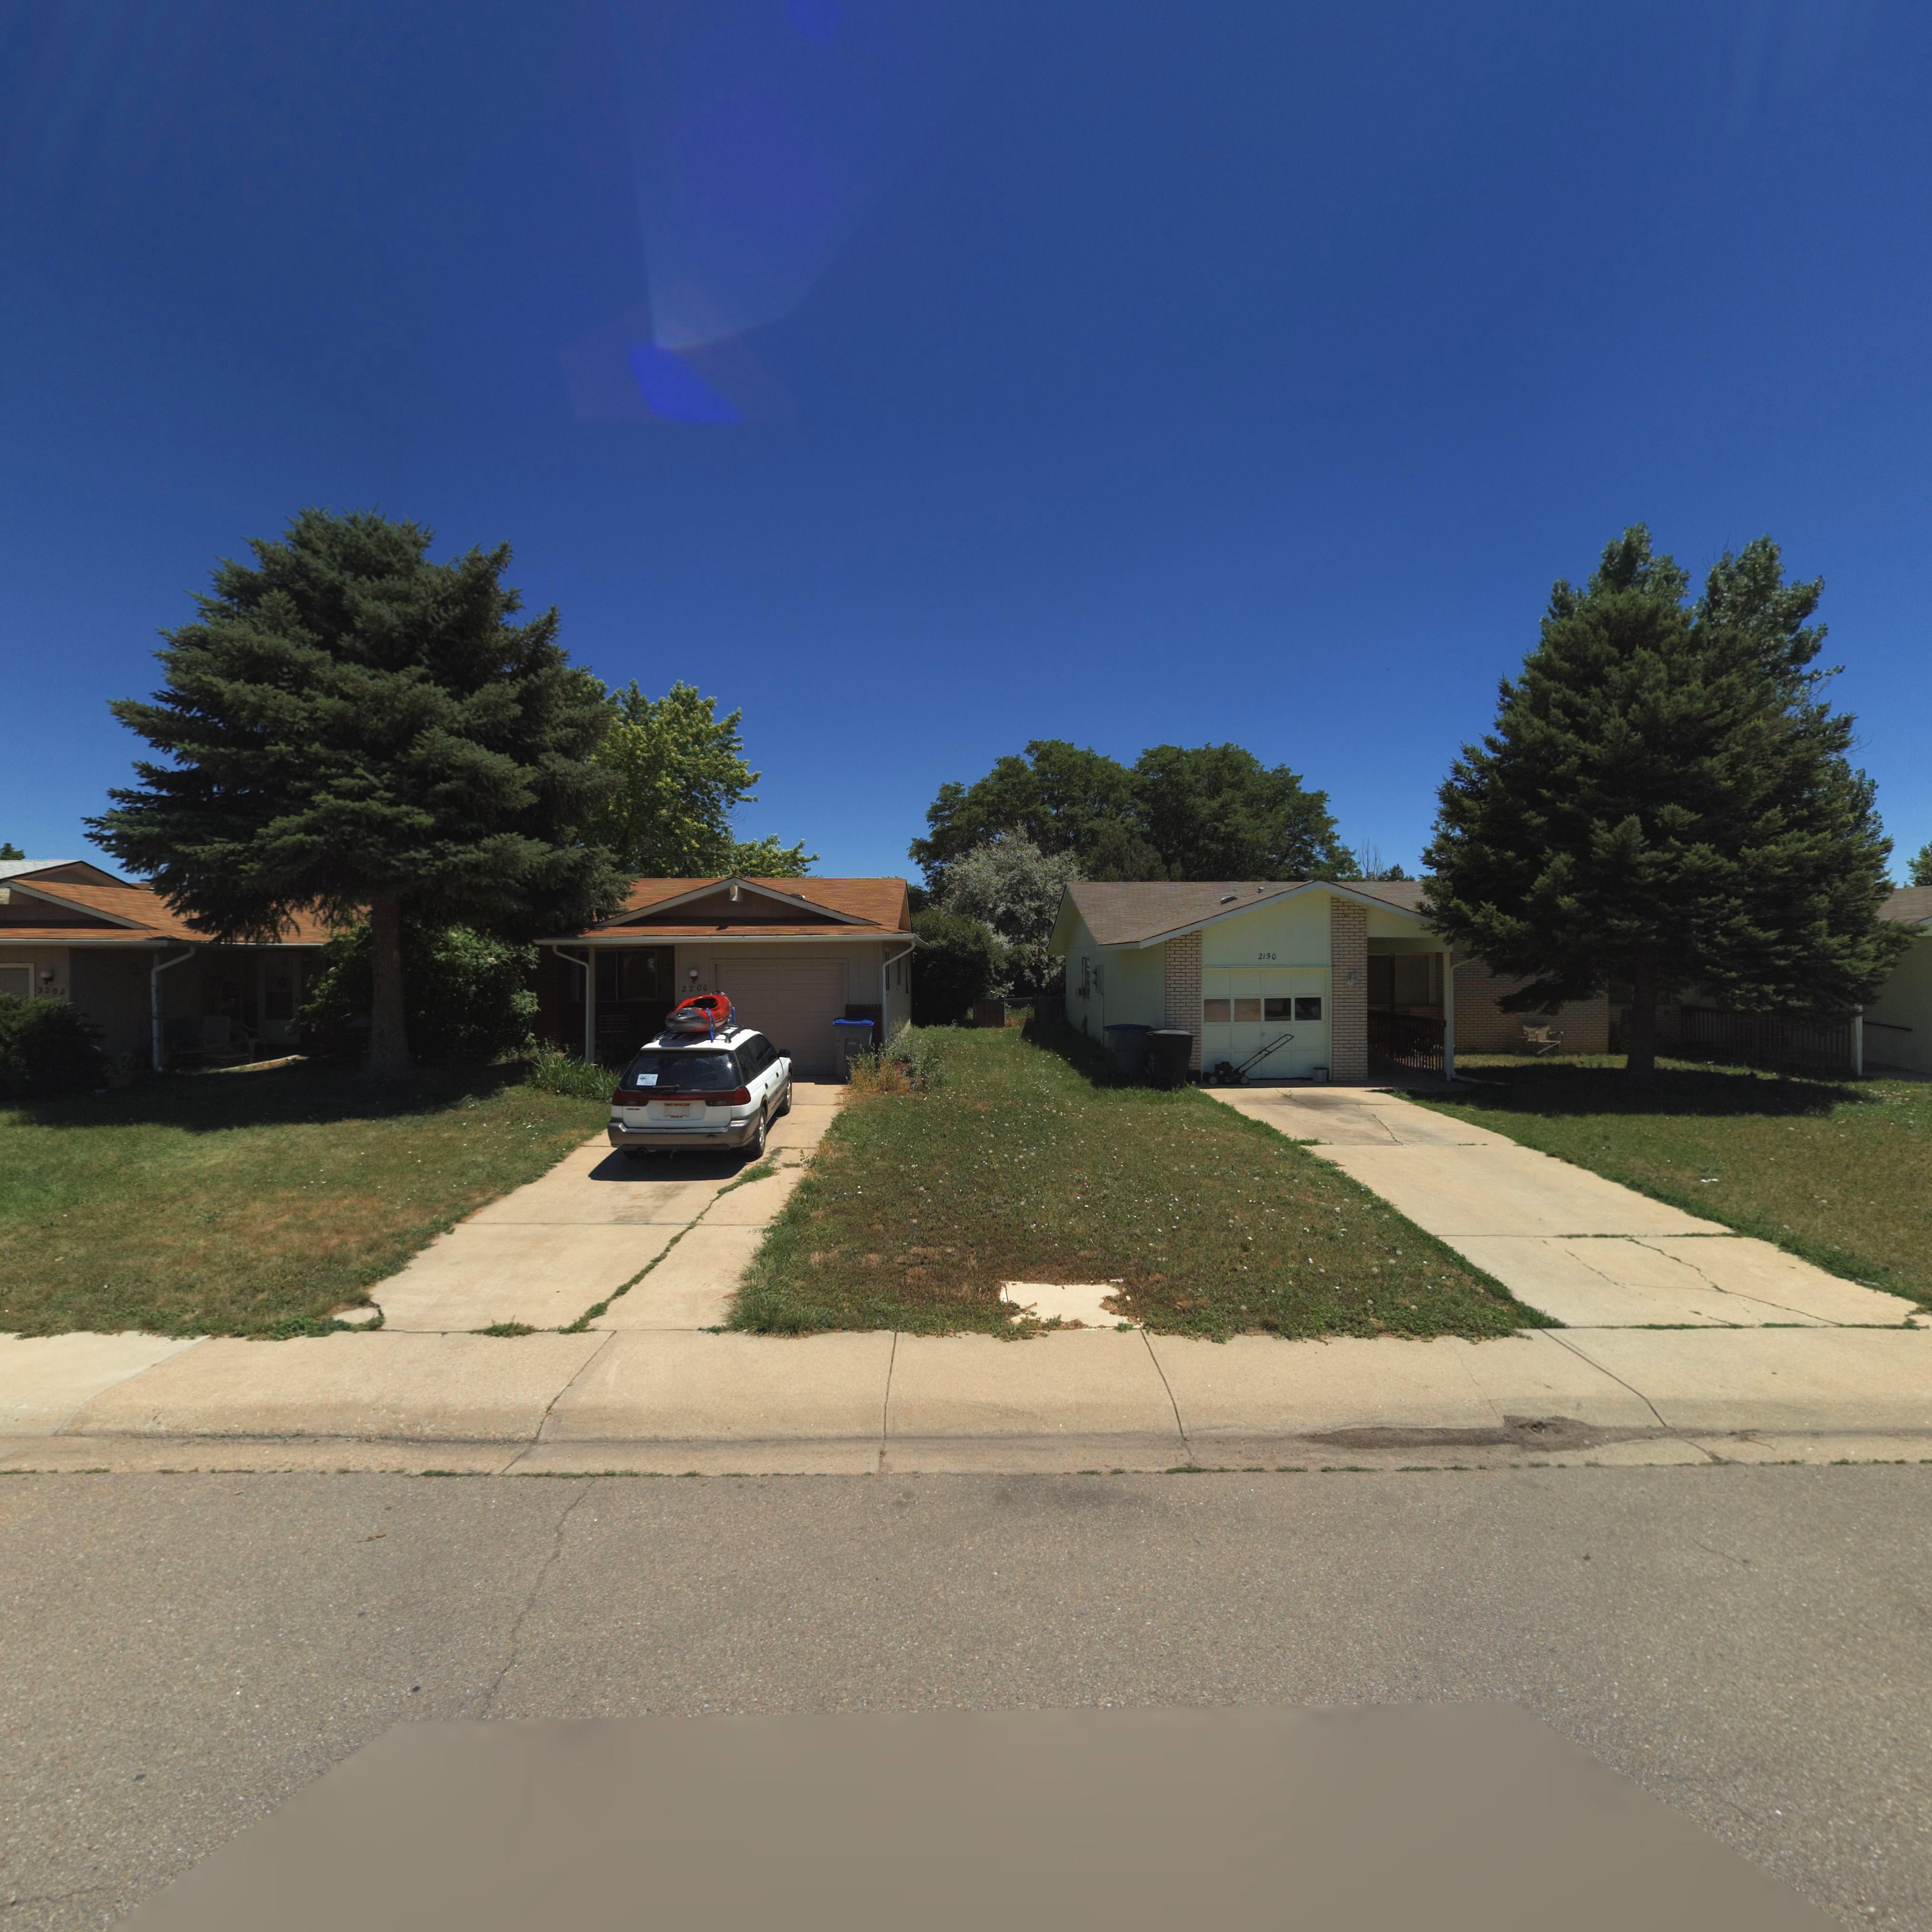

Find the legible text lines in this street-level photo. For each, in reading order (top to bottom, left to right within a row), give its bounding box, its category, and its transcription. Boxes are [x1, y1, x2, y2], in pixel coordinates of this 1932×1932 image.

[1257, 952, 1276, 960] StreetNumber: 2150
[36, 986, 66, 996] StreetNumber: 2202
[681, 984, 708, 992] StreetNumber: 2200